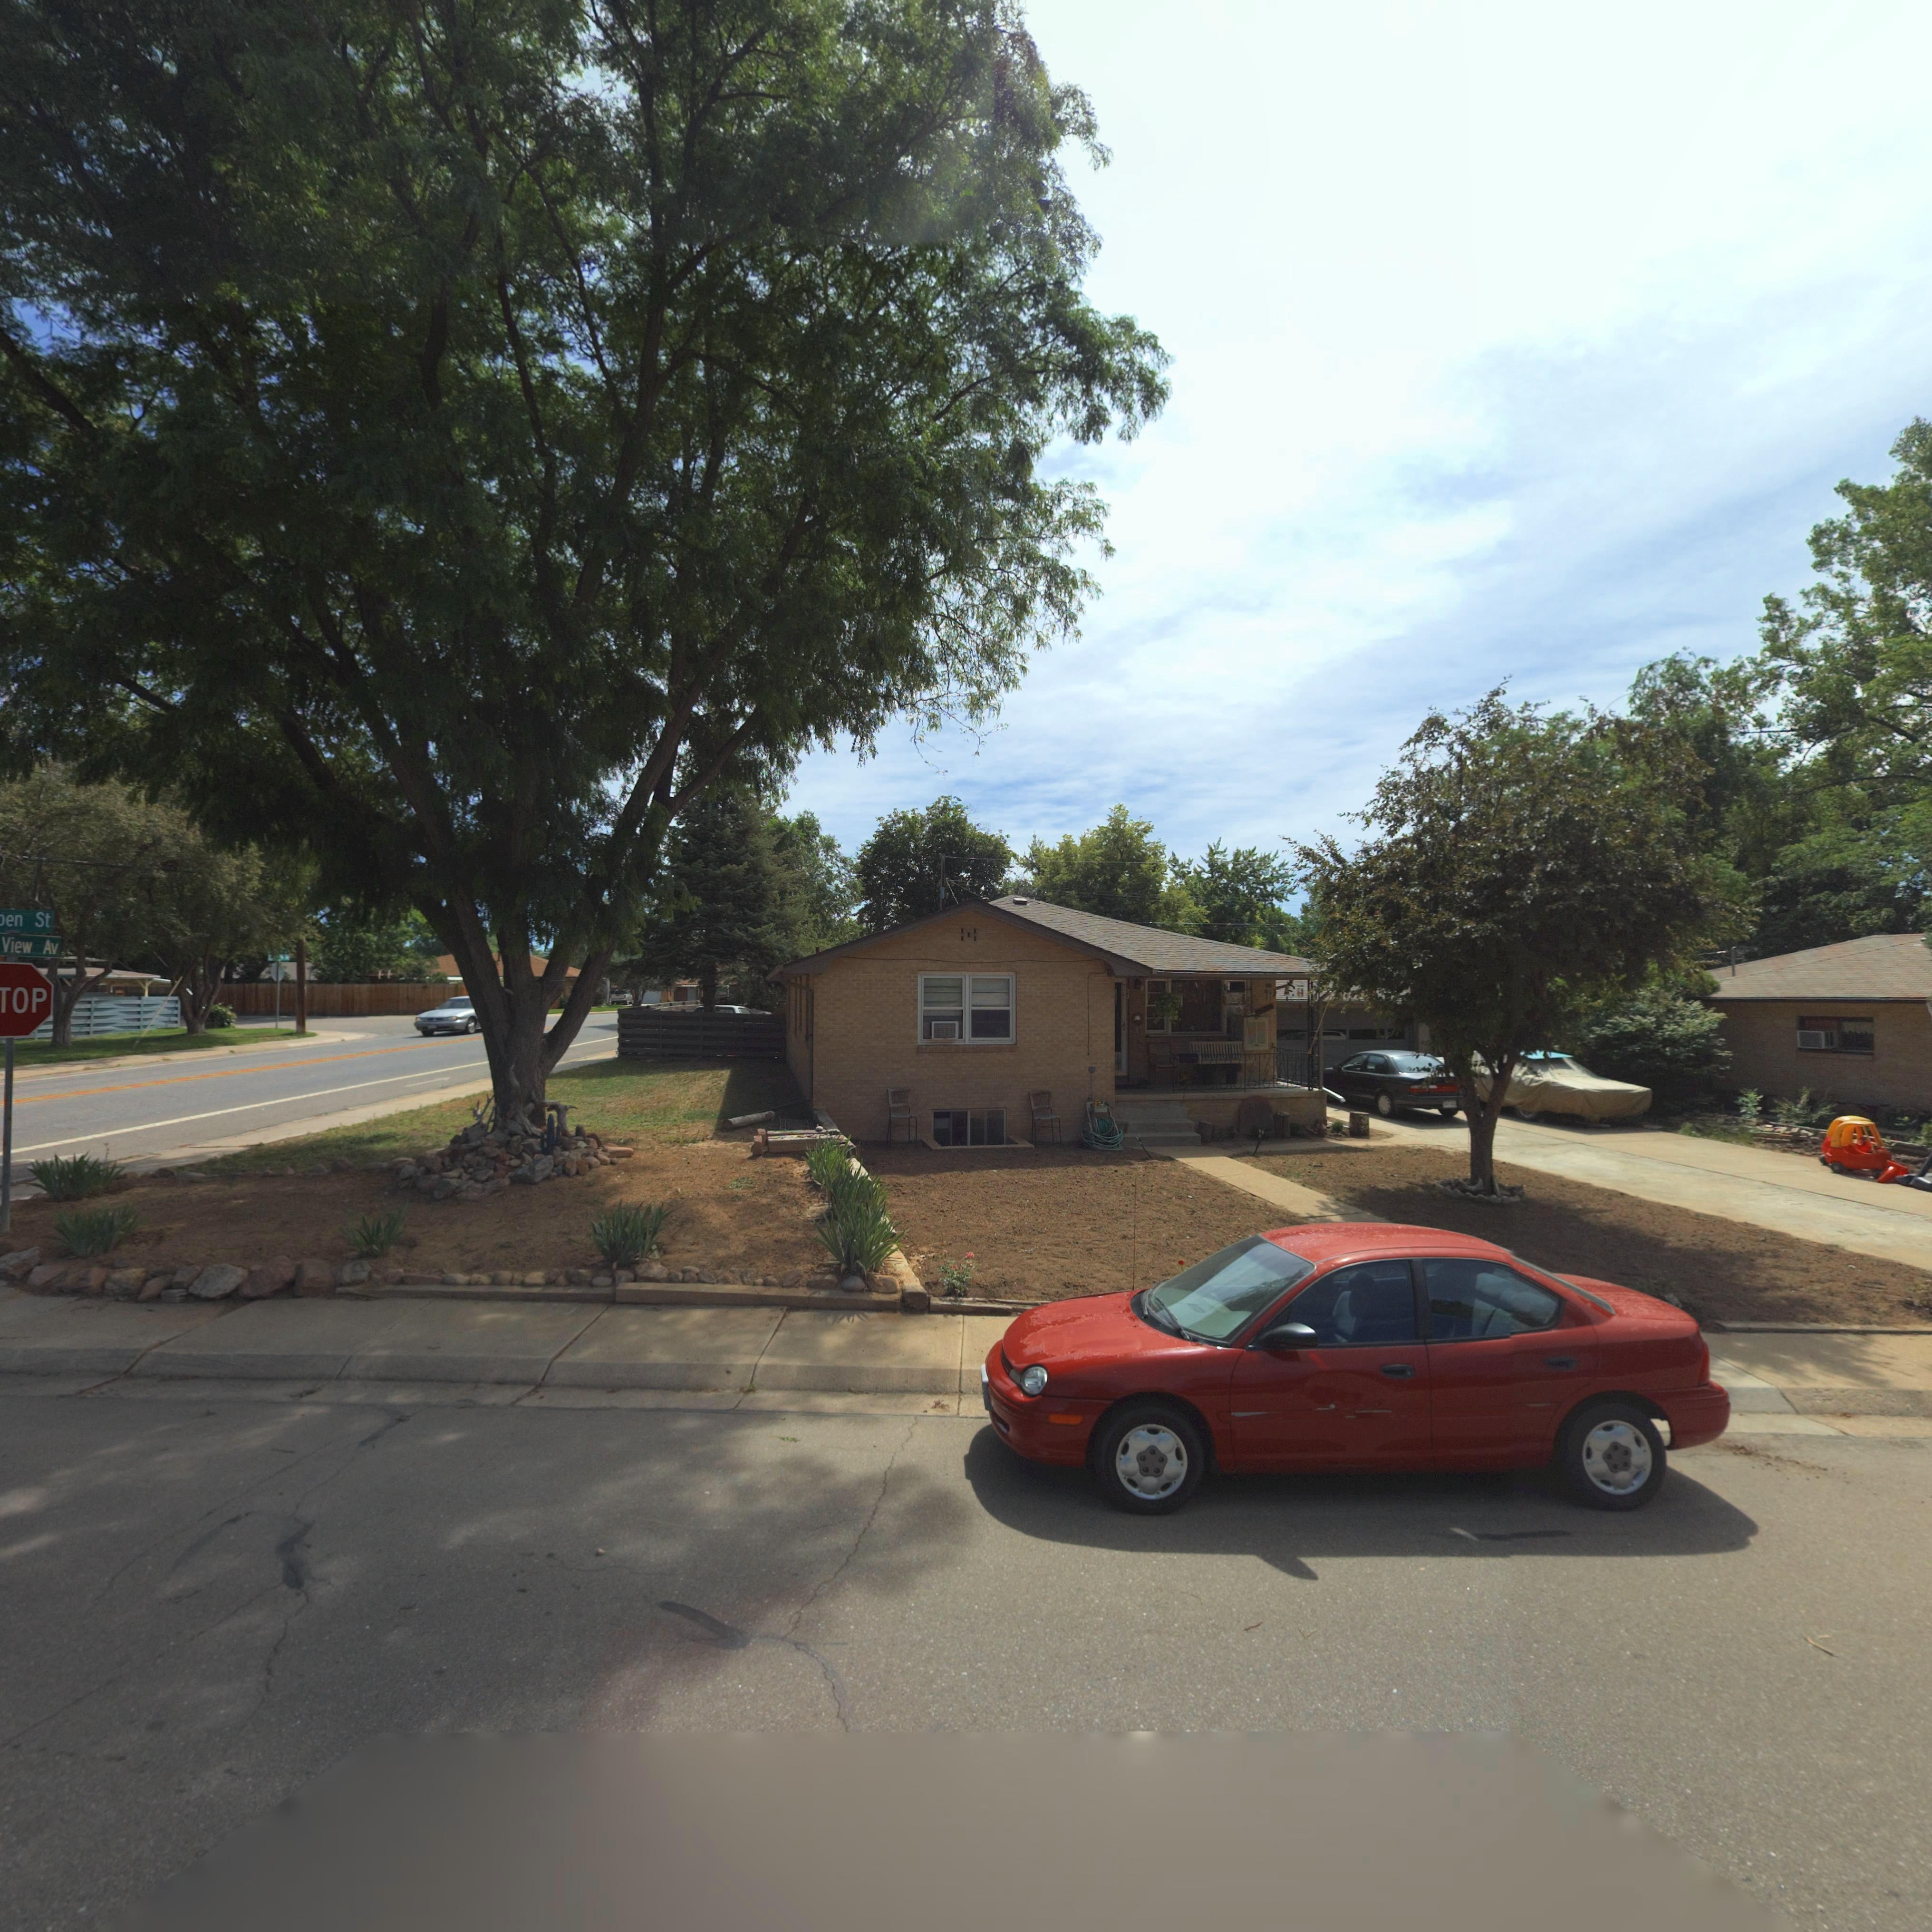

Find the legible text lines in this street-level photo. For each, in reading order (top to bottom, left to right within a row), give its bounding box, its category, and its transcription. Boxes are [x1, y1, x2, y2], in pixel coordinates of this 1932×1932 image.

[5, 911, 50, 927] StreetName: en St
[1, 937, 59, 955] StreetName: View Av